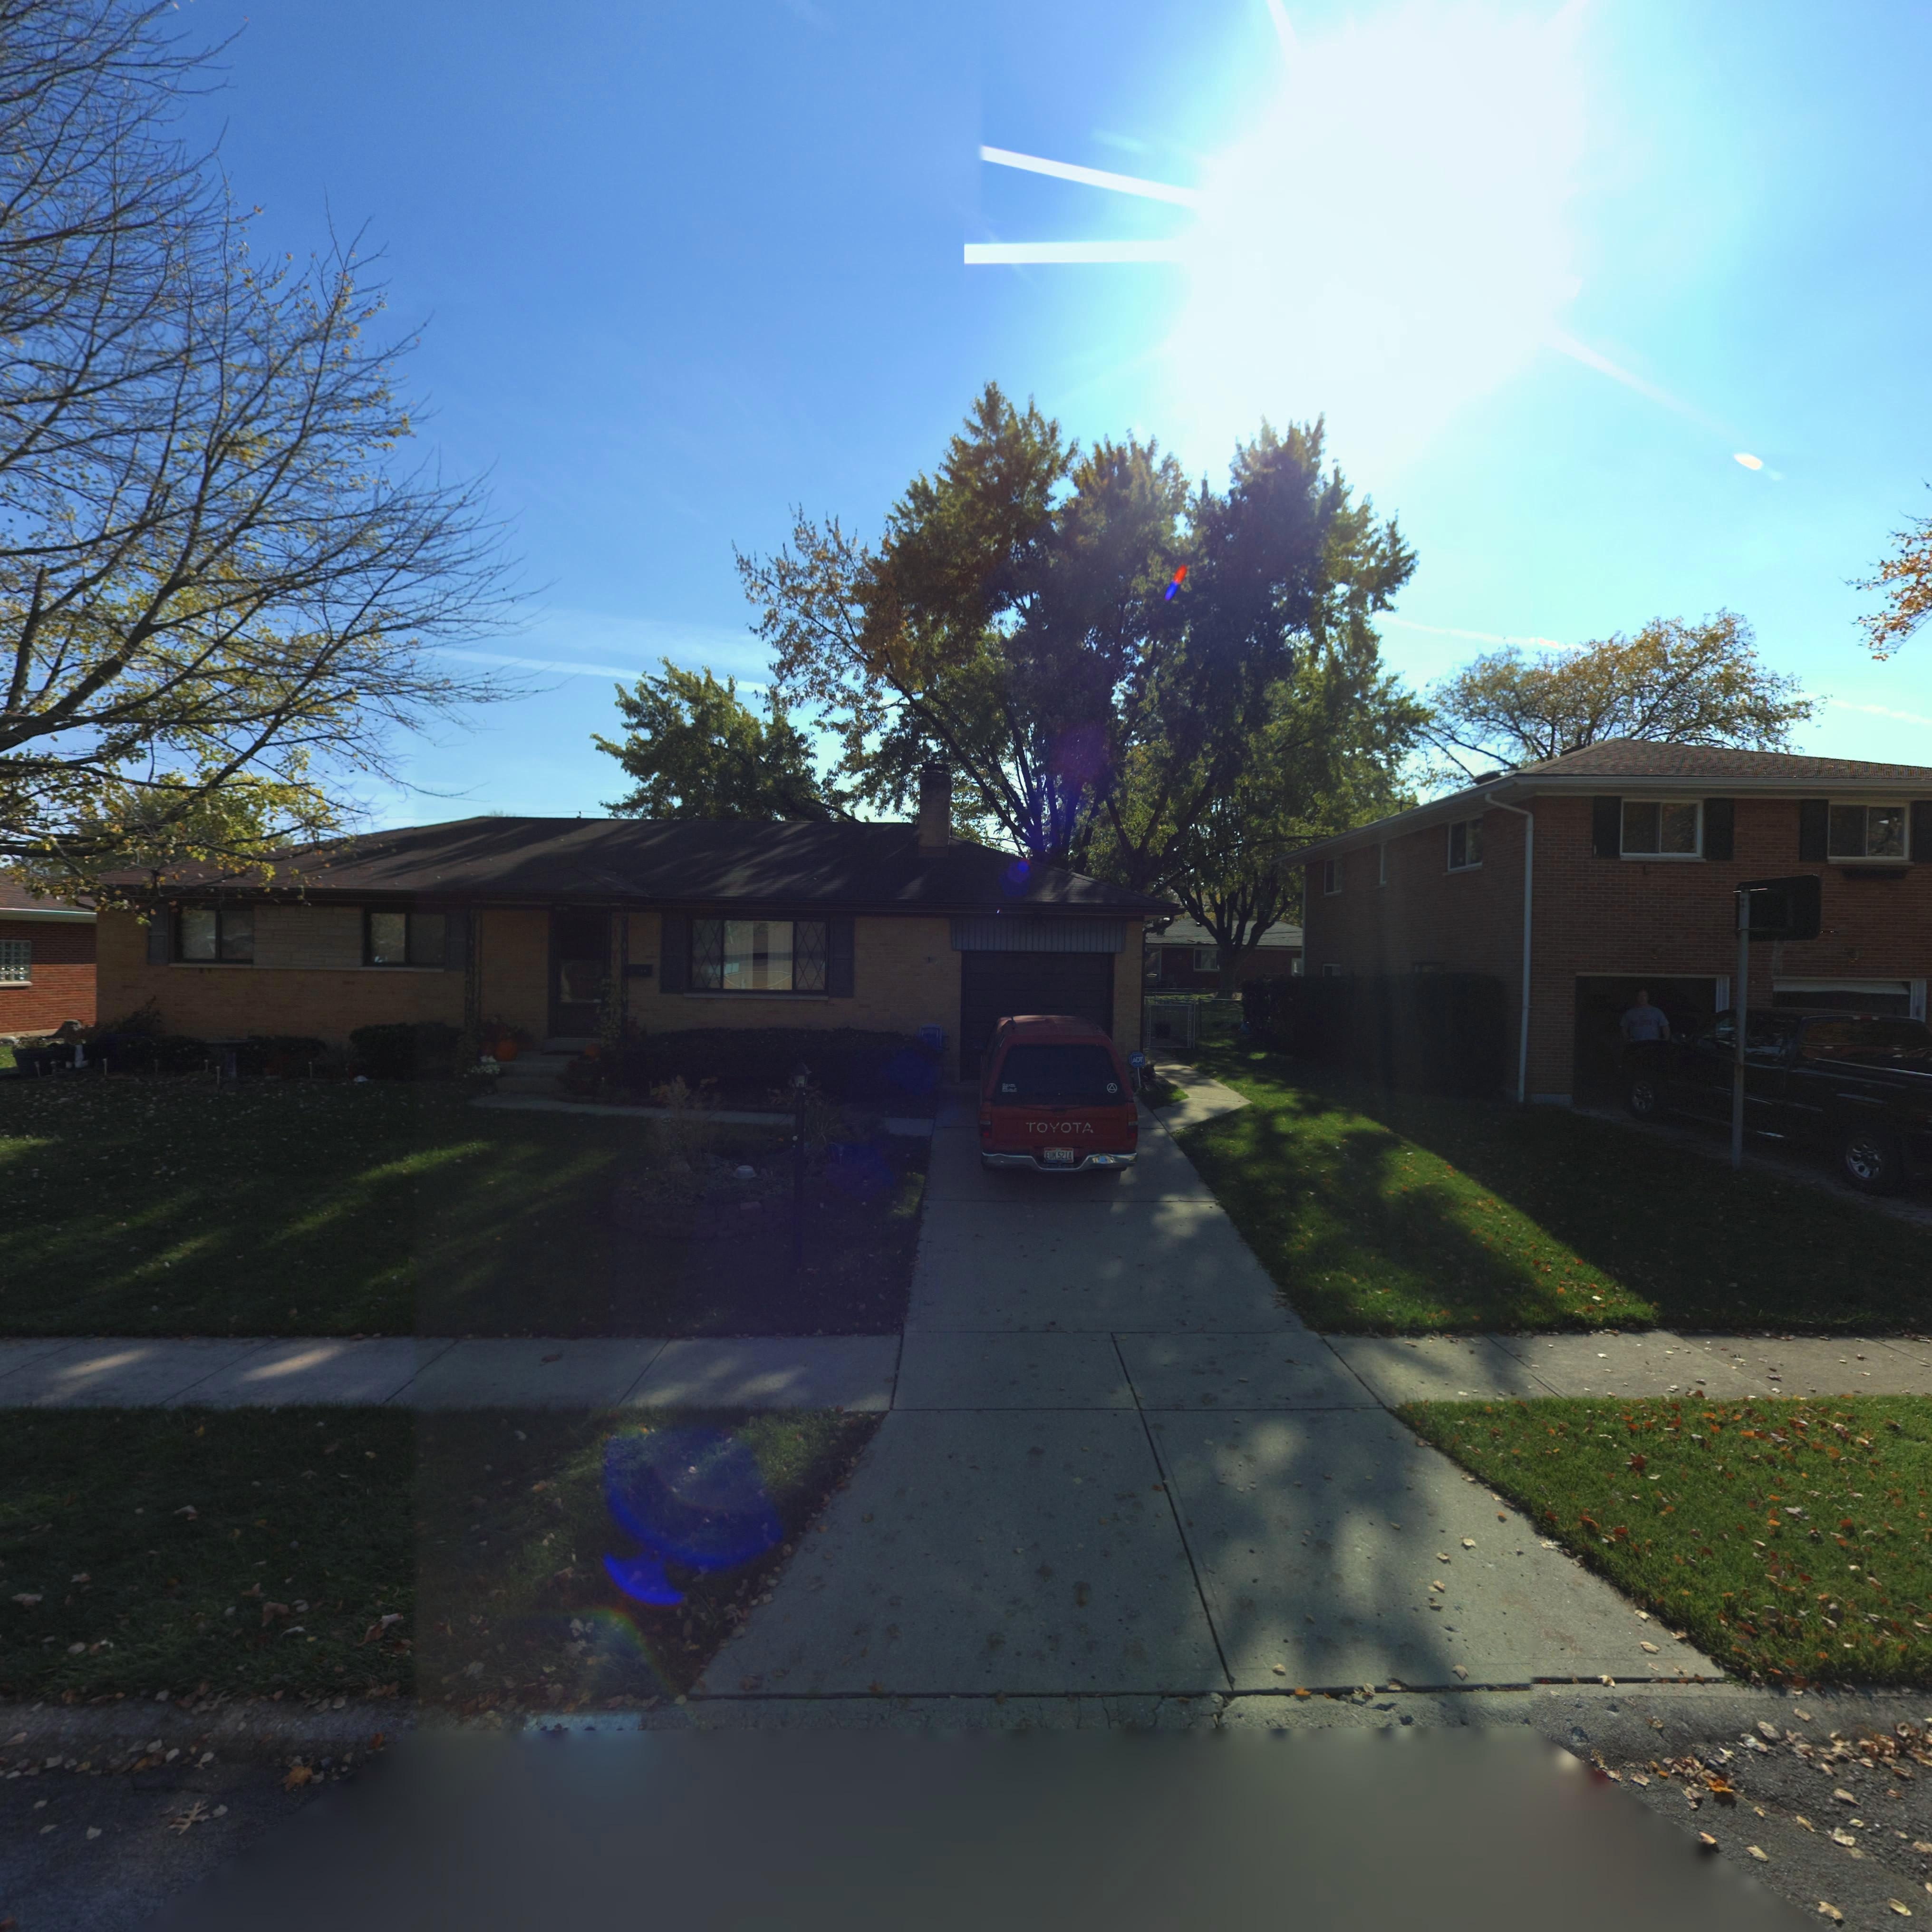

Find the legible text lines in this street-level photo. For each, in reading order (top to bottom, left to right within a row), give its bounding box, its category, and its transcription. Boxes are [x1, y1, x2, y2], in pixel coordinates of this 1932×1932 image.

[1131, 1055, 1144, 1064] None: ADT